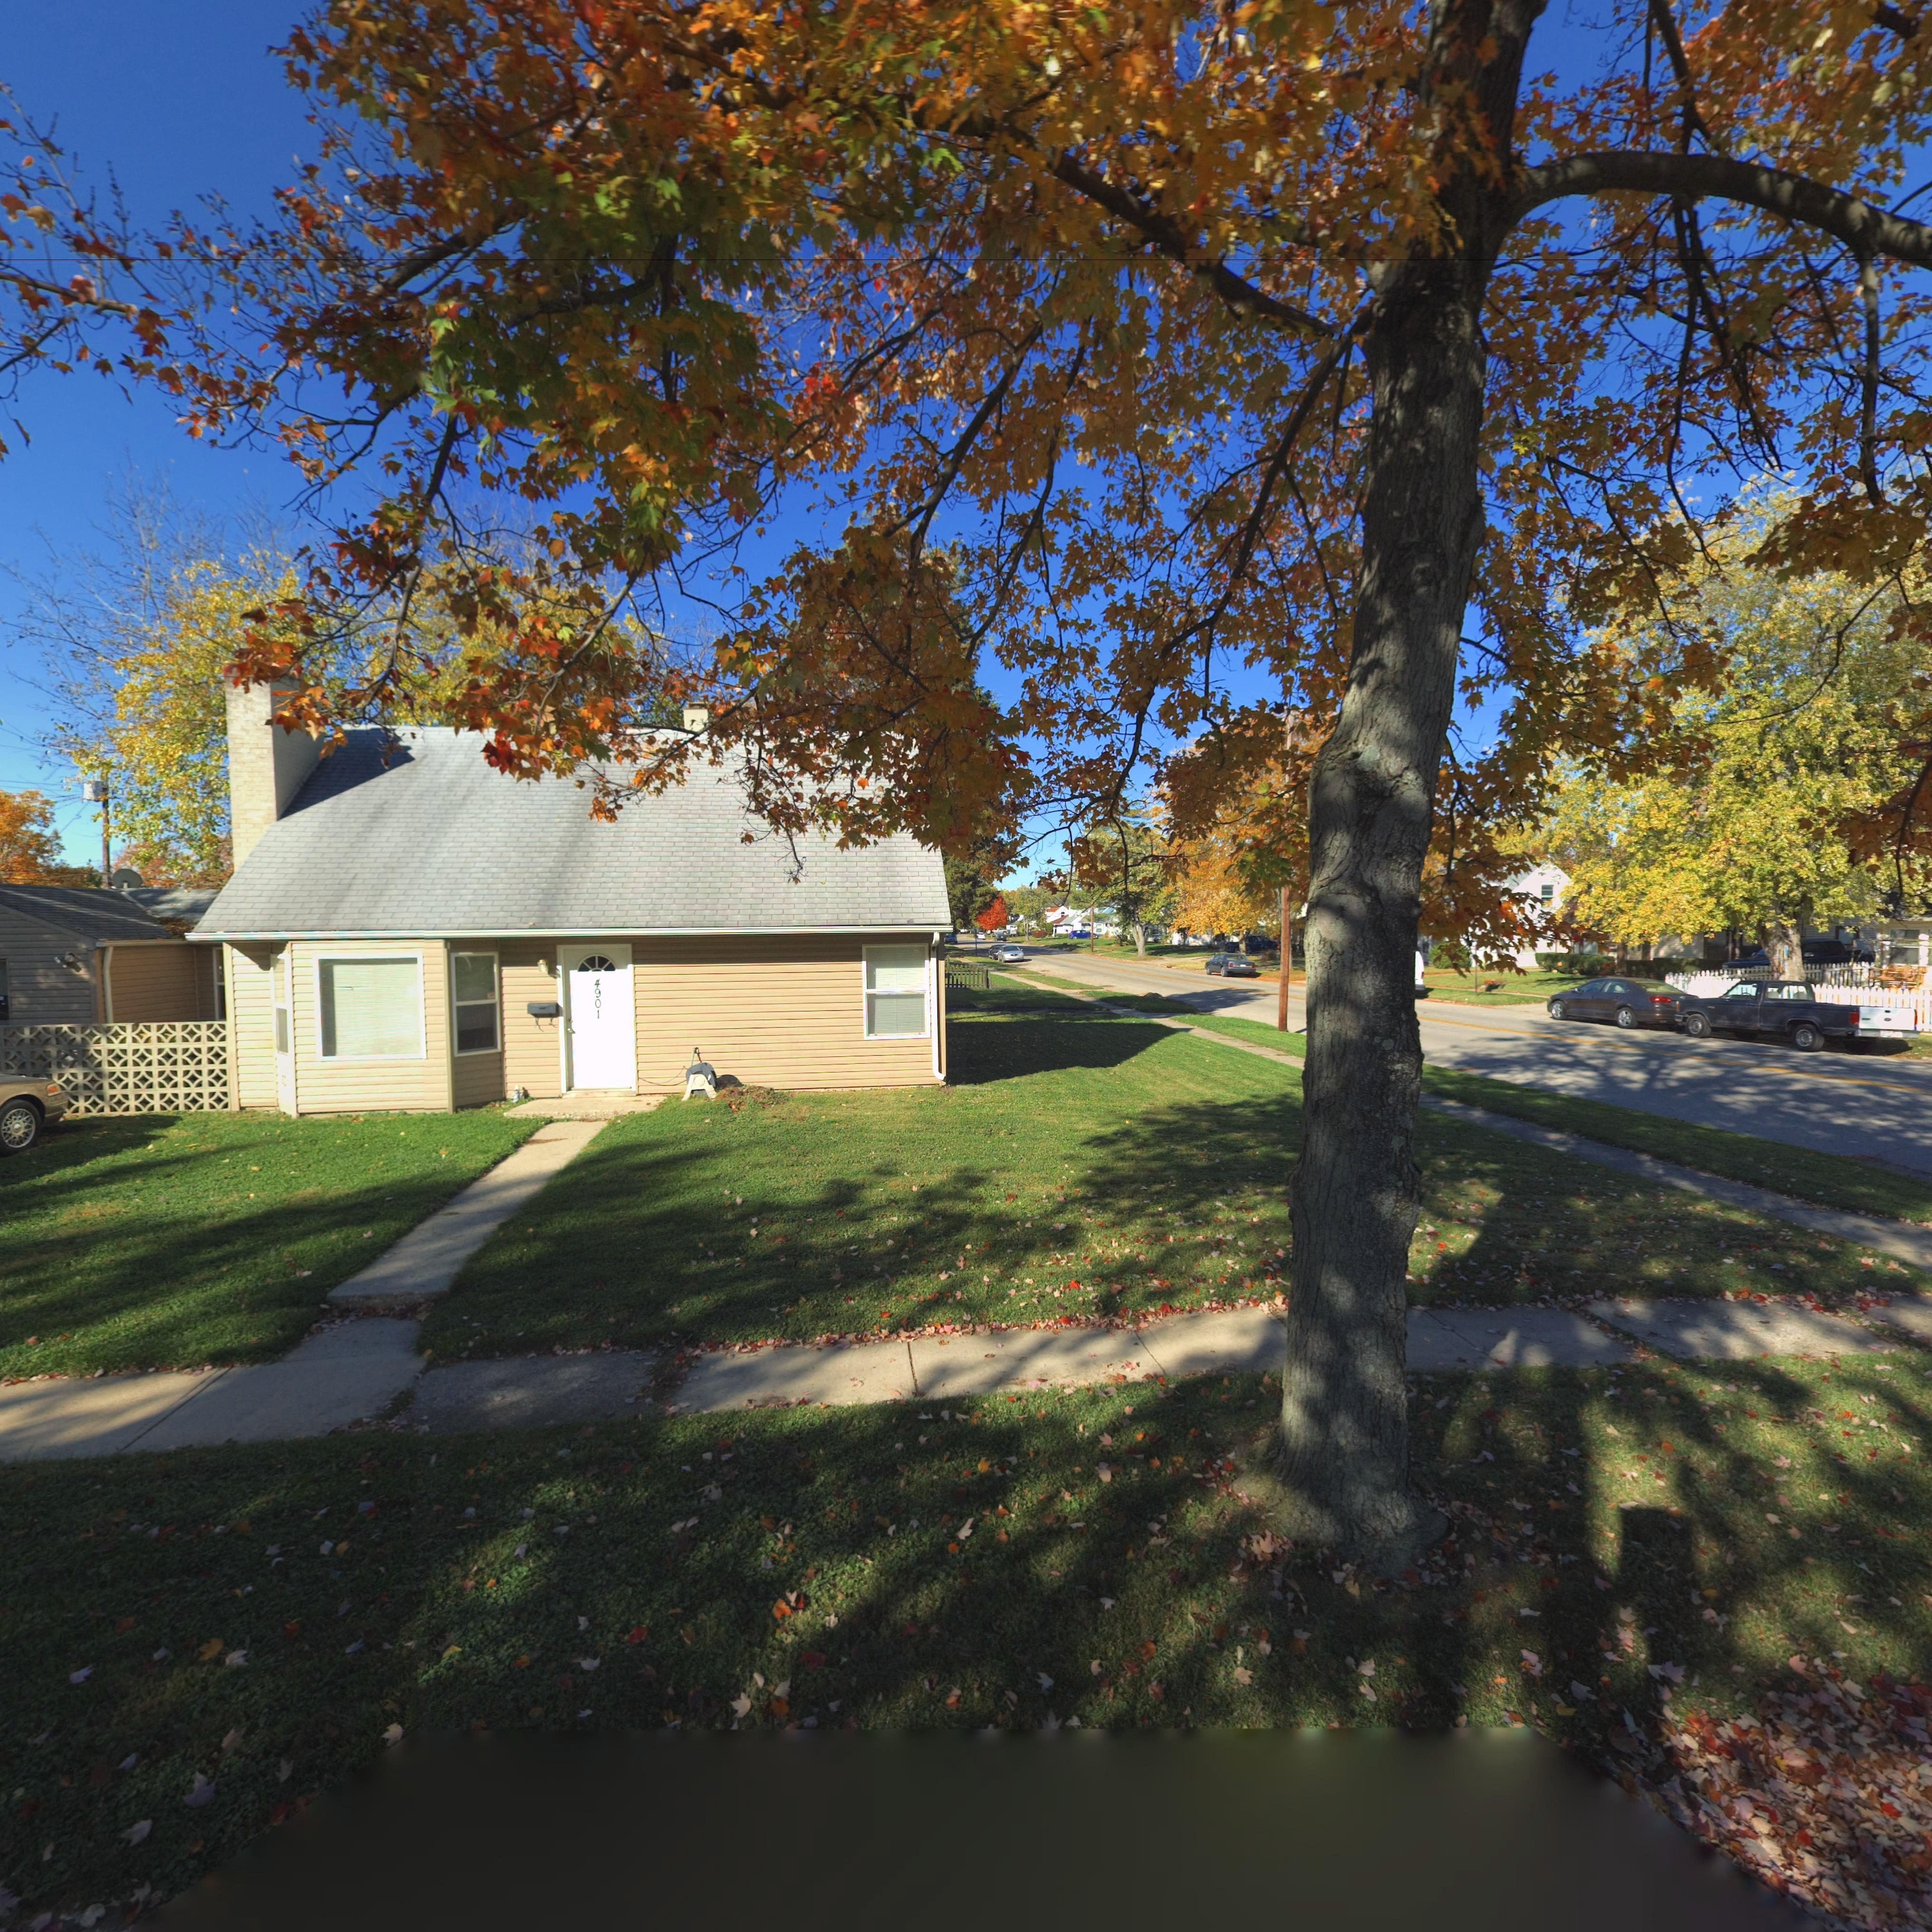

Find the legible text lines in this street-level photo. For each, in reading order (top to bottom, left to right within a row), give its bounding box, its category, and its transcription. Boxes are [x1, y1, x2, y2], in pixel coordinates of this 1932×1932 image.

[593, 978, 602, 1020] StreetNumber: 4901